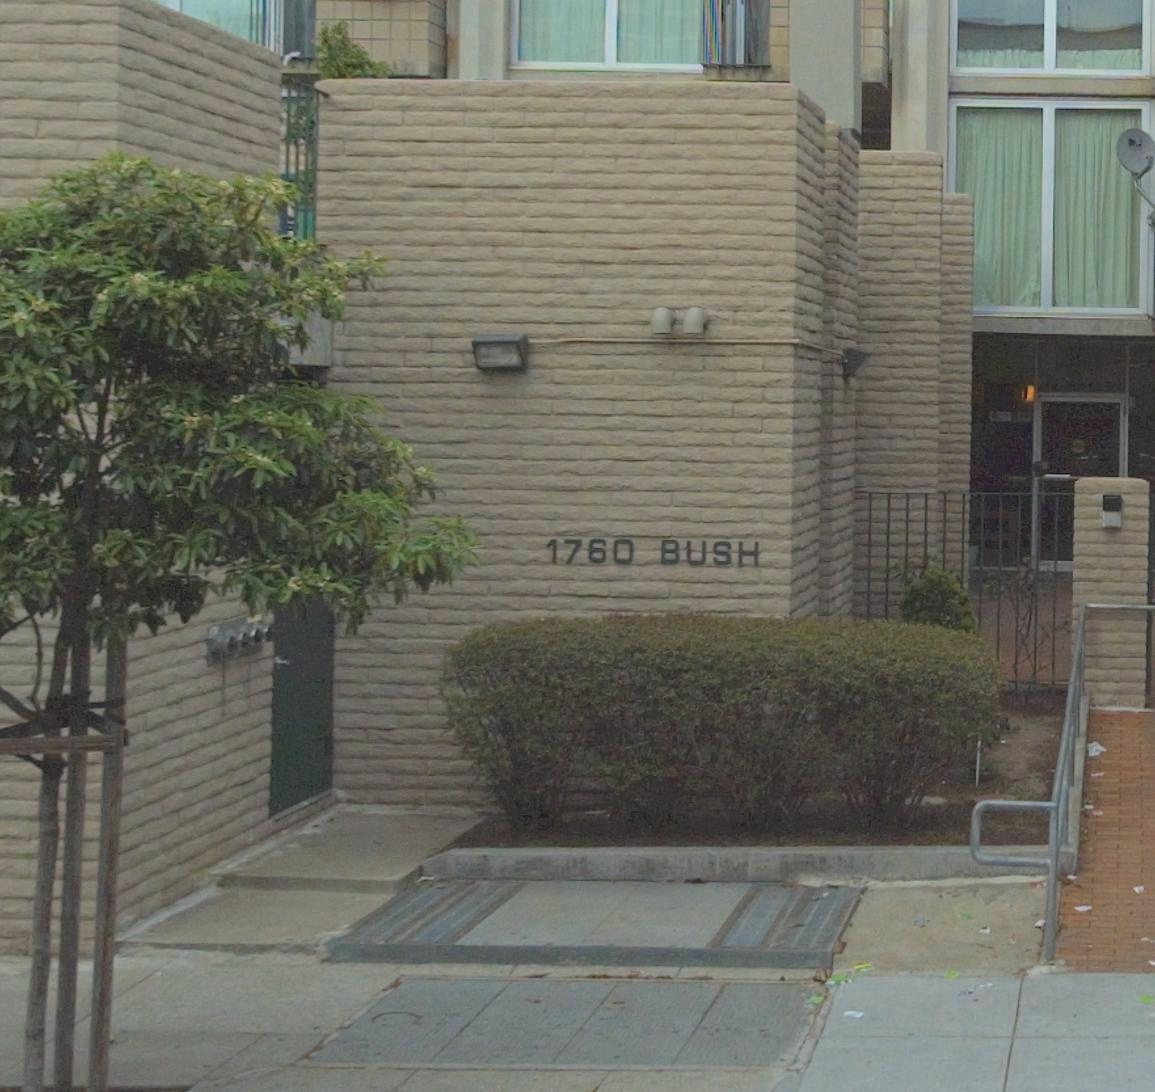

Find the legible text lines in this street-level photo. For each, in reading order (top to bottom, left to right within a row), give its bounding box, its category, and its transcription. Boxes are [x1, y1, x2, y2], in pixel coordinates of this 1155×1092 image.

[545, 537, 636, 566] StreetNumber: 1760
[660, 539, 760, 568] StreetName: BUSH